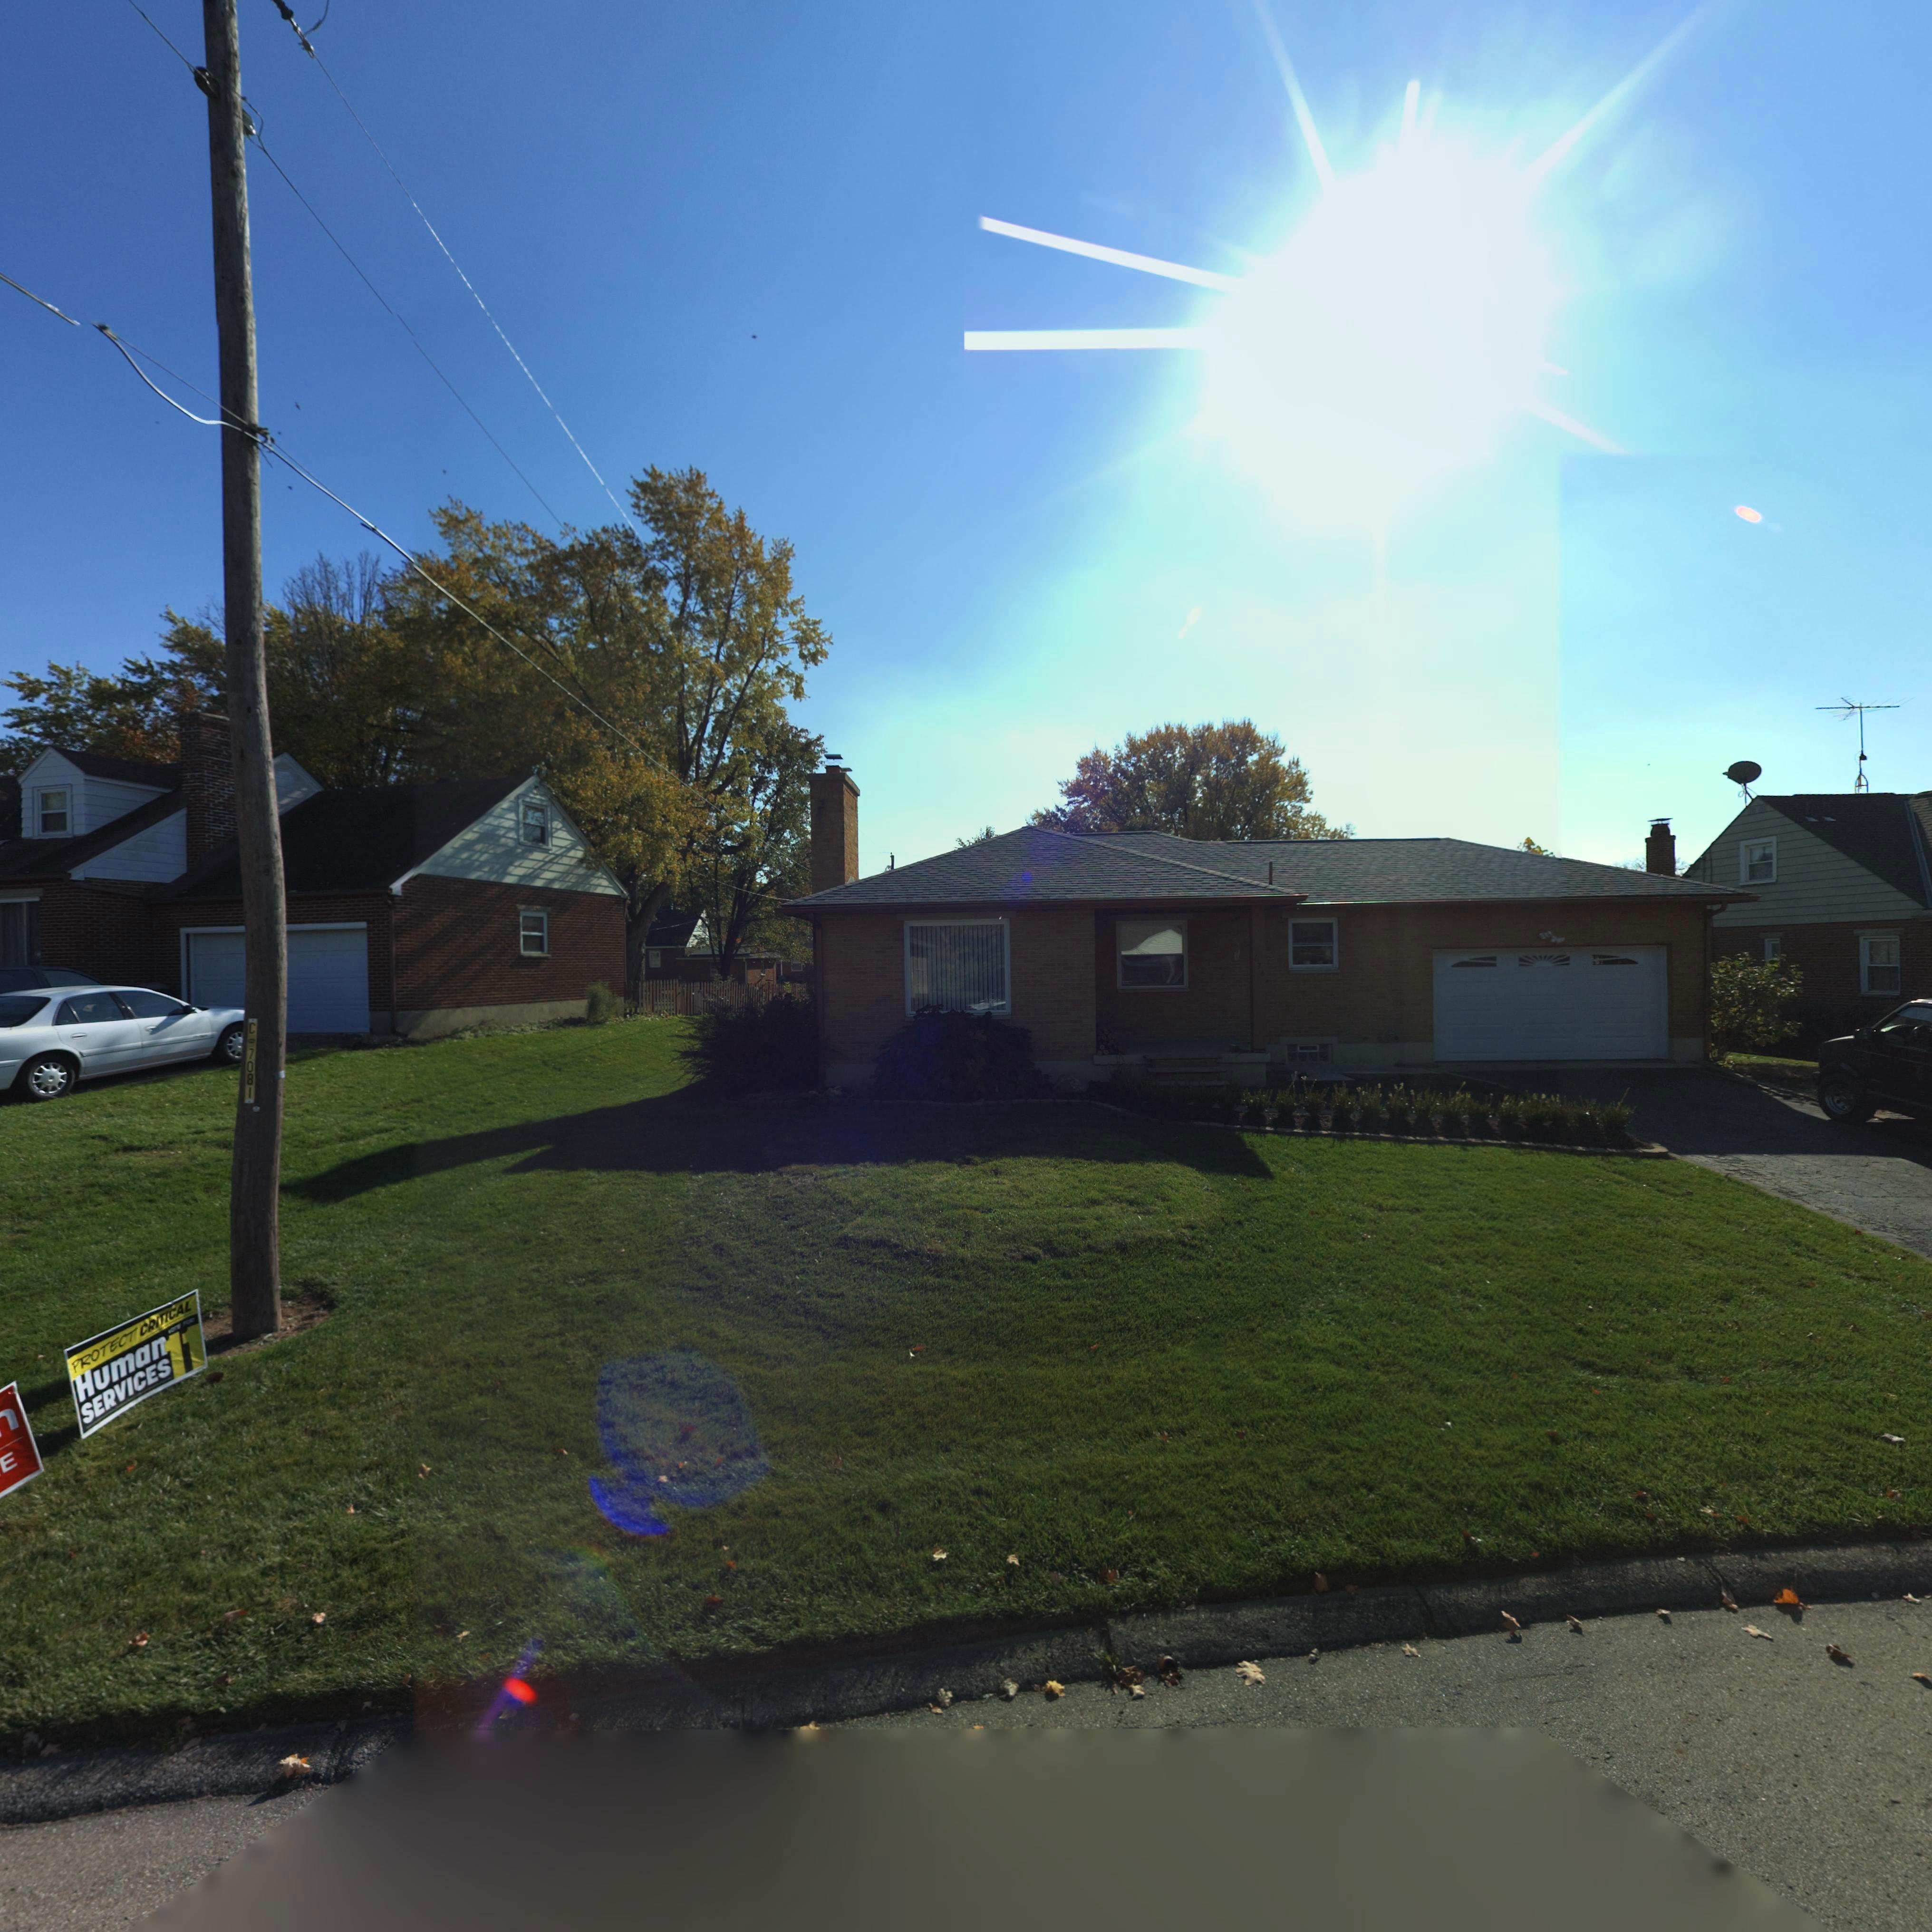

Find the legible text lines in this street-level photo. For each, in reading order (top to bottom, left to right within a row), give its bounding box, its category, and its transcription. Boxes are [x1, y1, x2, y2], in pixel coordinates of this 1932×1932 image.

[1253, 954, 1266, 977] StreetNumber: 634
[245, 1022, 257, 1099] None: C*7081
[73, 1334, 168, 1404] None: Human
[78, 1357, 172, 1424] None: SERVICES
[71, 1299, 192, 1375] None: PROTECT CRITICAL
[163, 1322, 206, 1381] None: 11
[0, 1450, 19, 1475] None: E